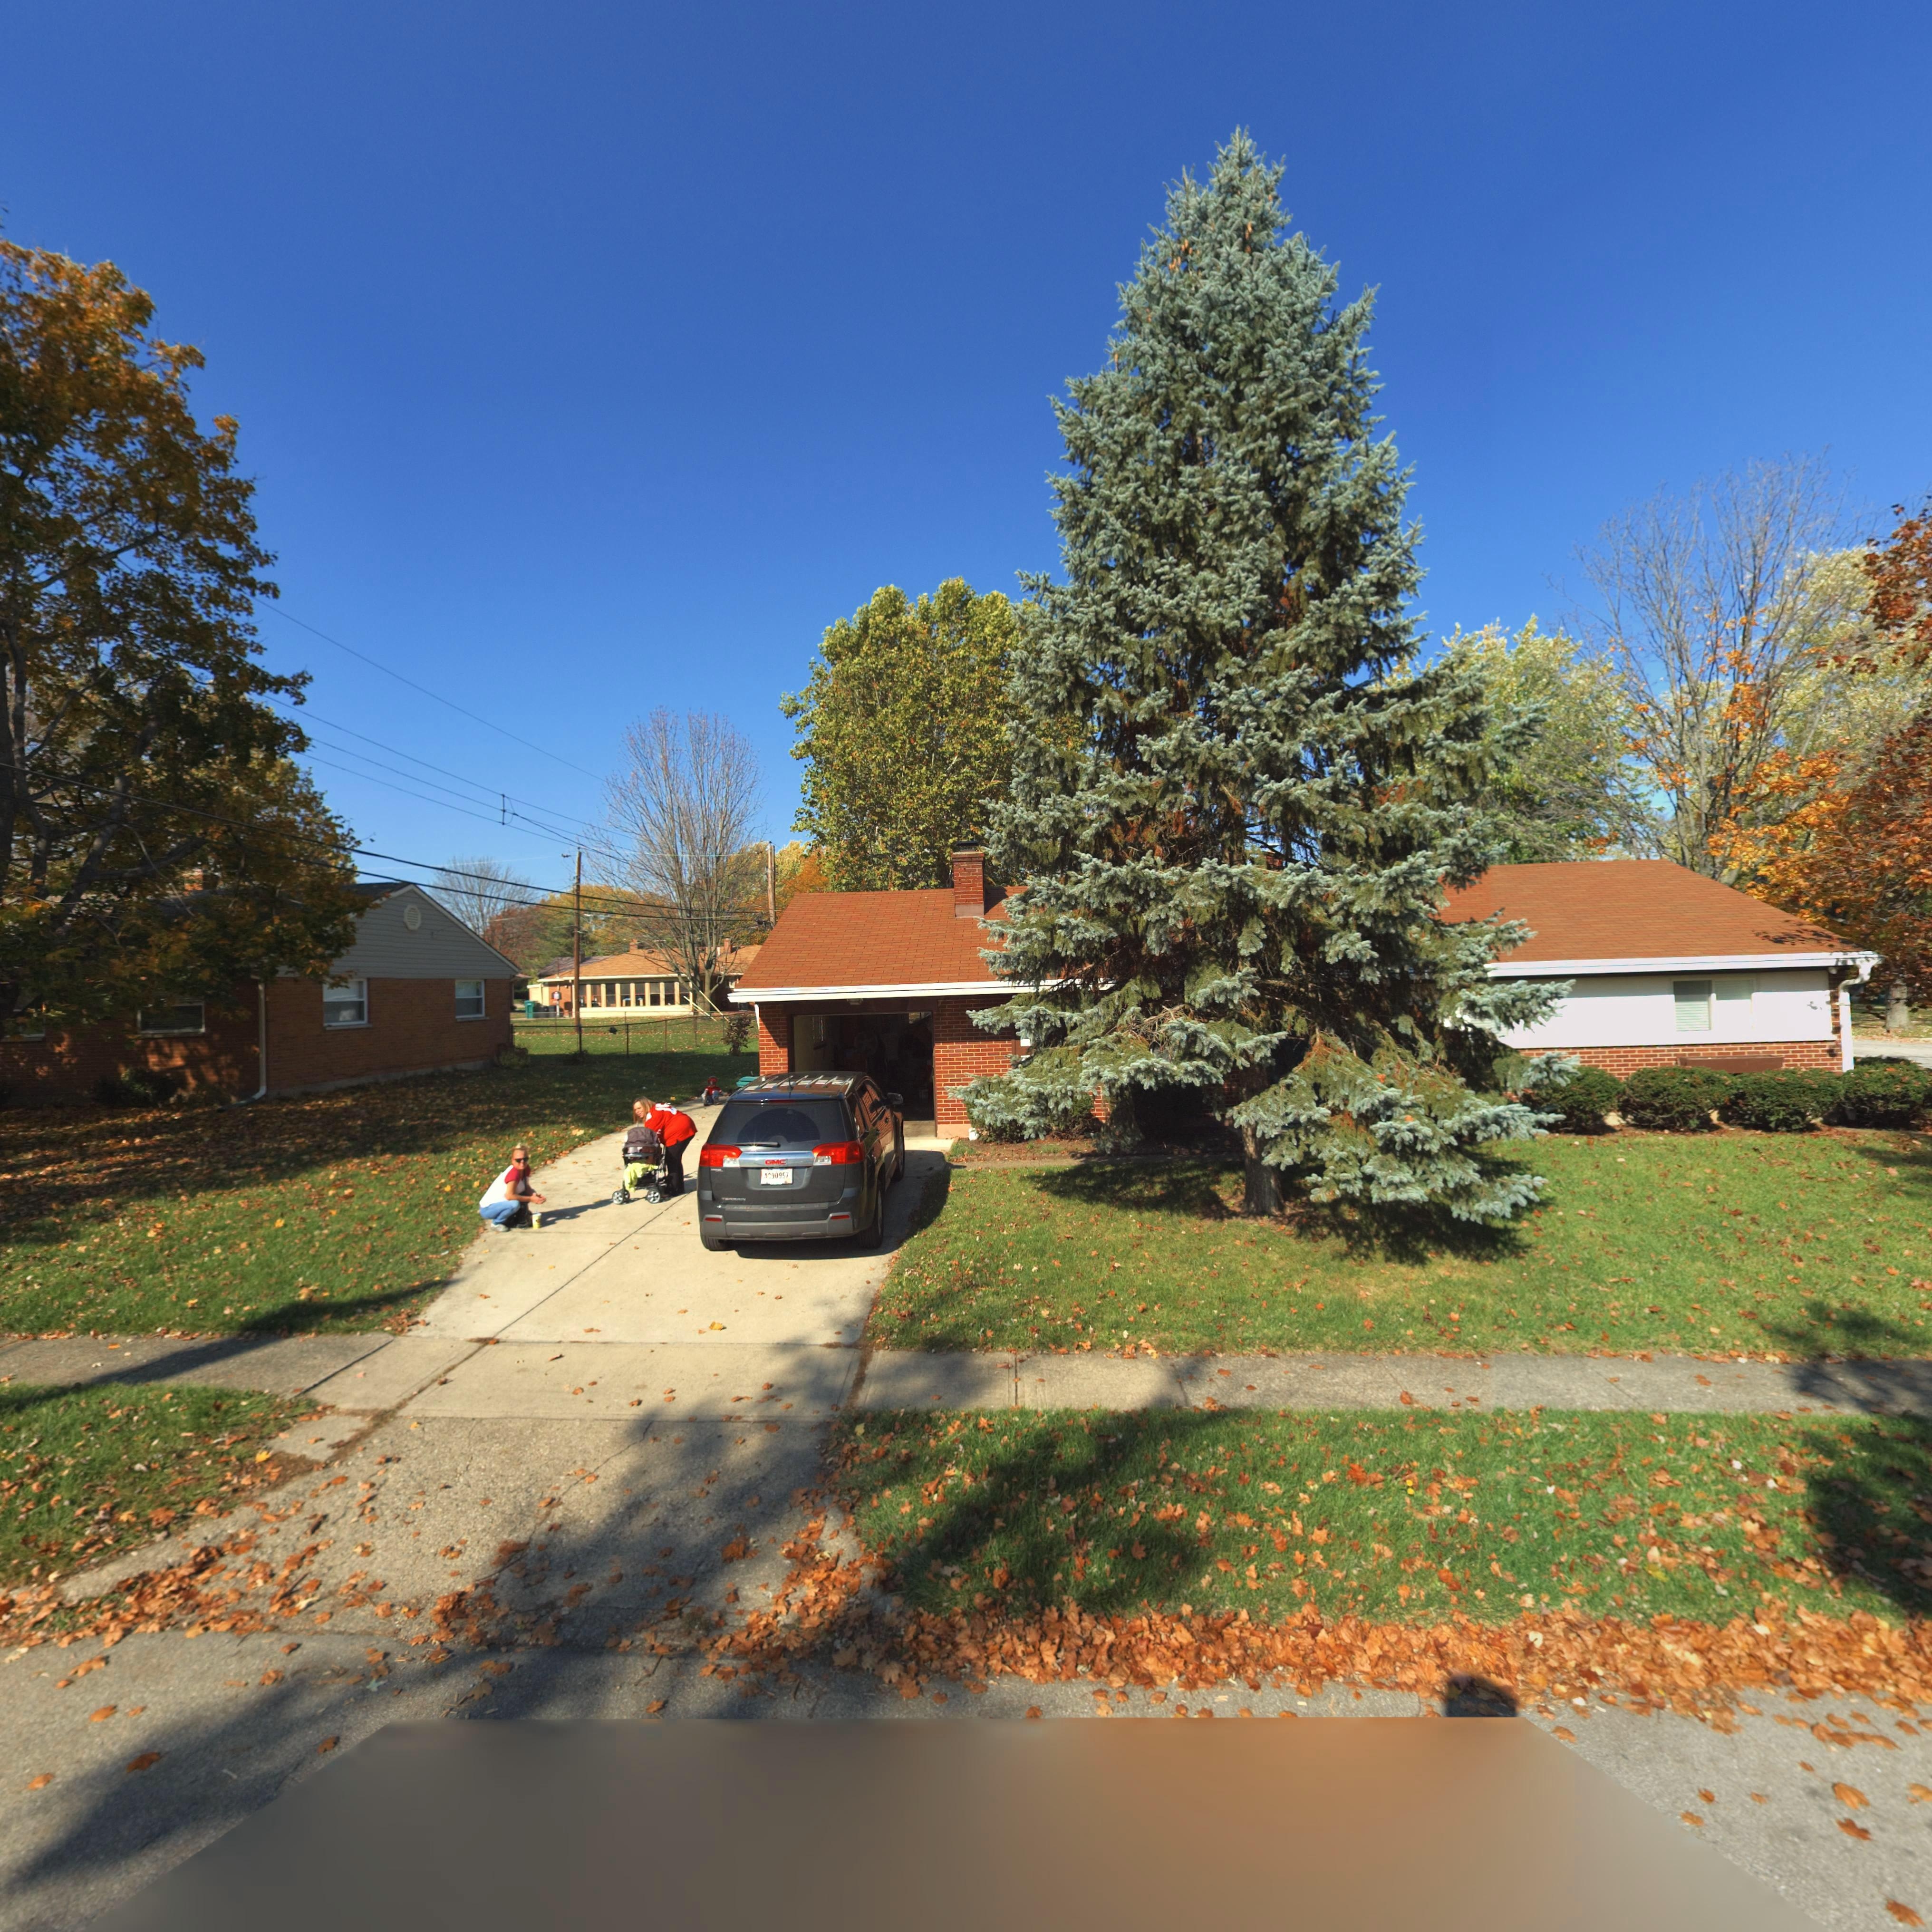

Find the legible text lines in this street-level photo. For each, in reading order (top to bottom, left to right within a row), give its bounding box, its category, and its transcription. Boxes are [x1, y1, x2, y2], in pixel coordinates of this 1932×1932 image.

[764, 1159, 786, 1166] None: GMC
[764, 1171, 790, 1179] None: AO90967